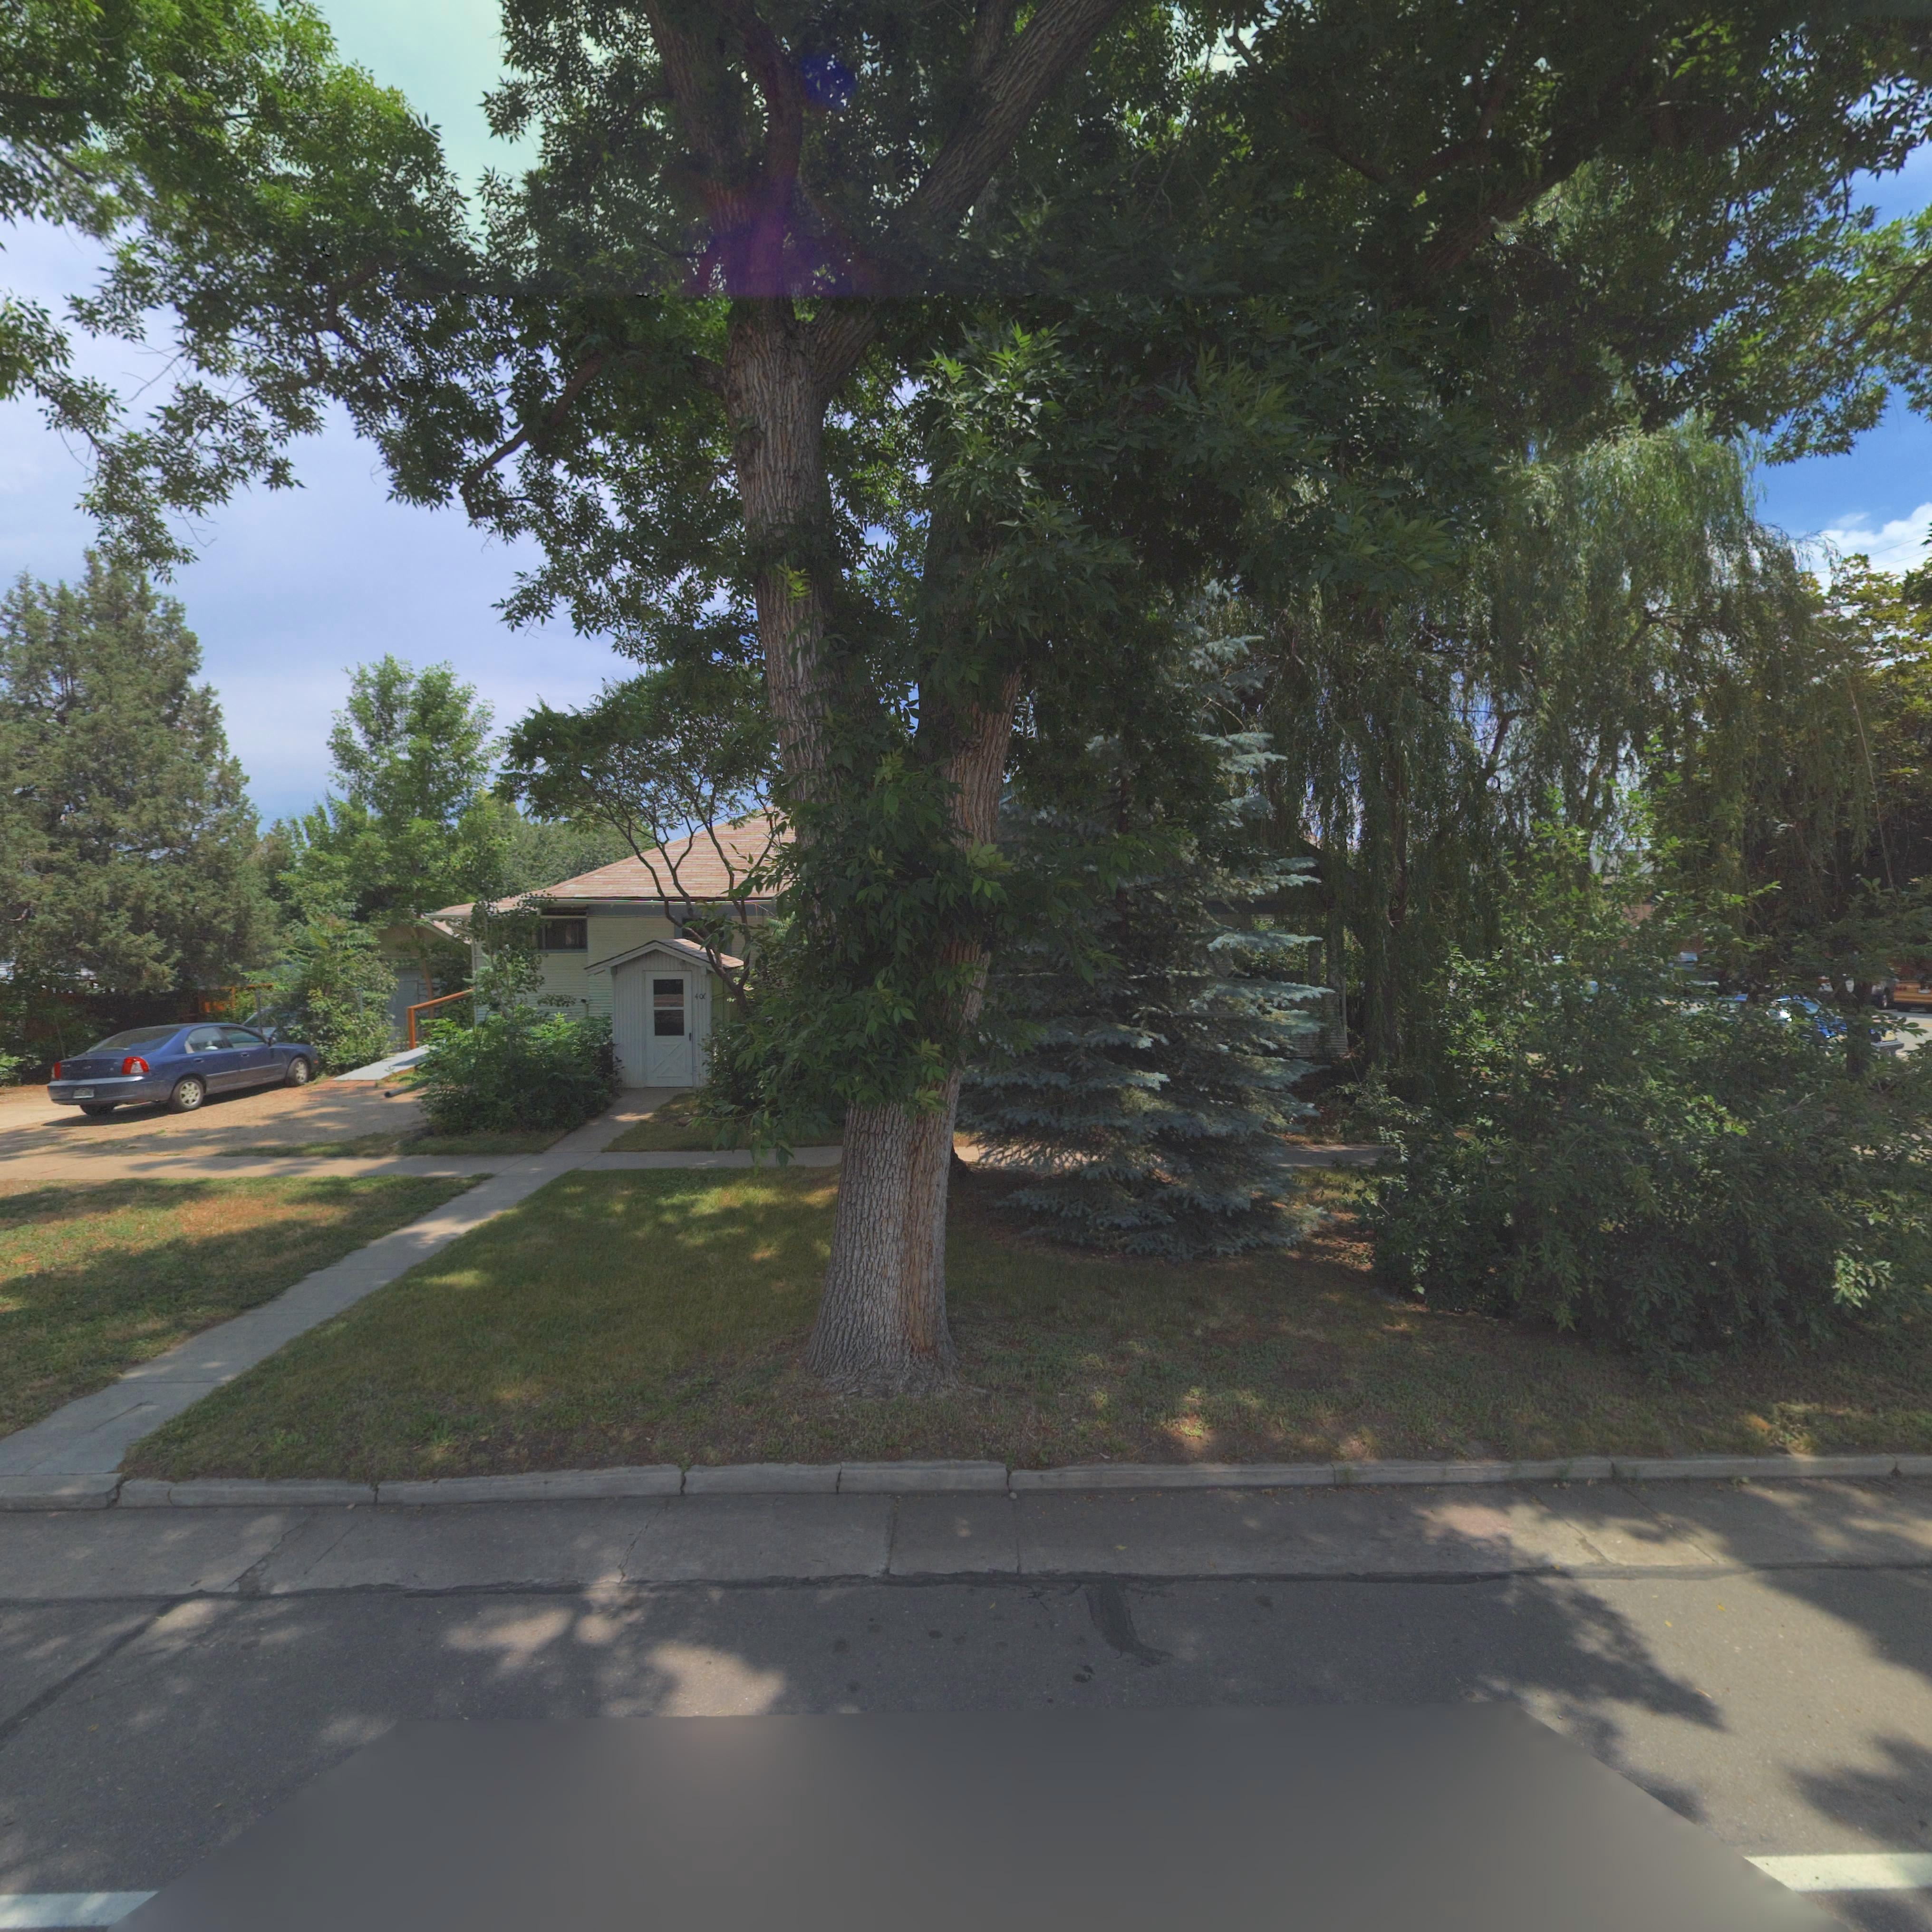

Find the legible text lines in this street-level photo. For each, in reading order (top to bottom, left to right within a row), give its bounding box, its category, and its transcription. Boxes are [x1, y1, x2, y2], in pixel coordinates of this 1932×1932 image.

[694, 993, 703, 1000] StreetNumber: 40